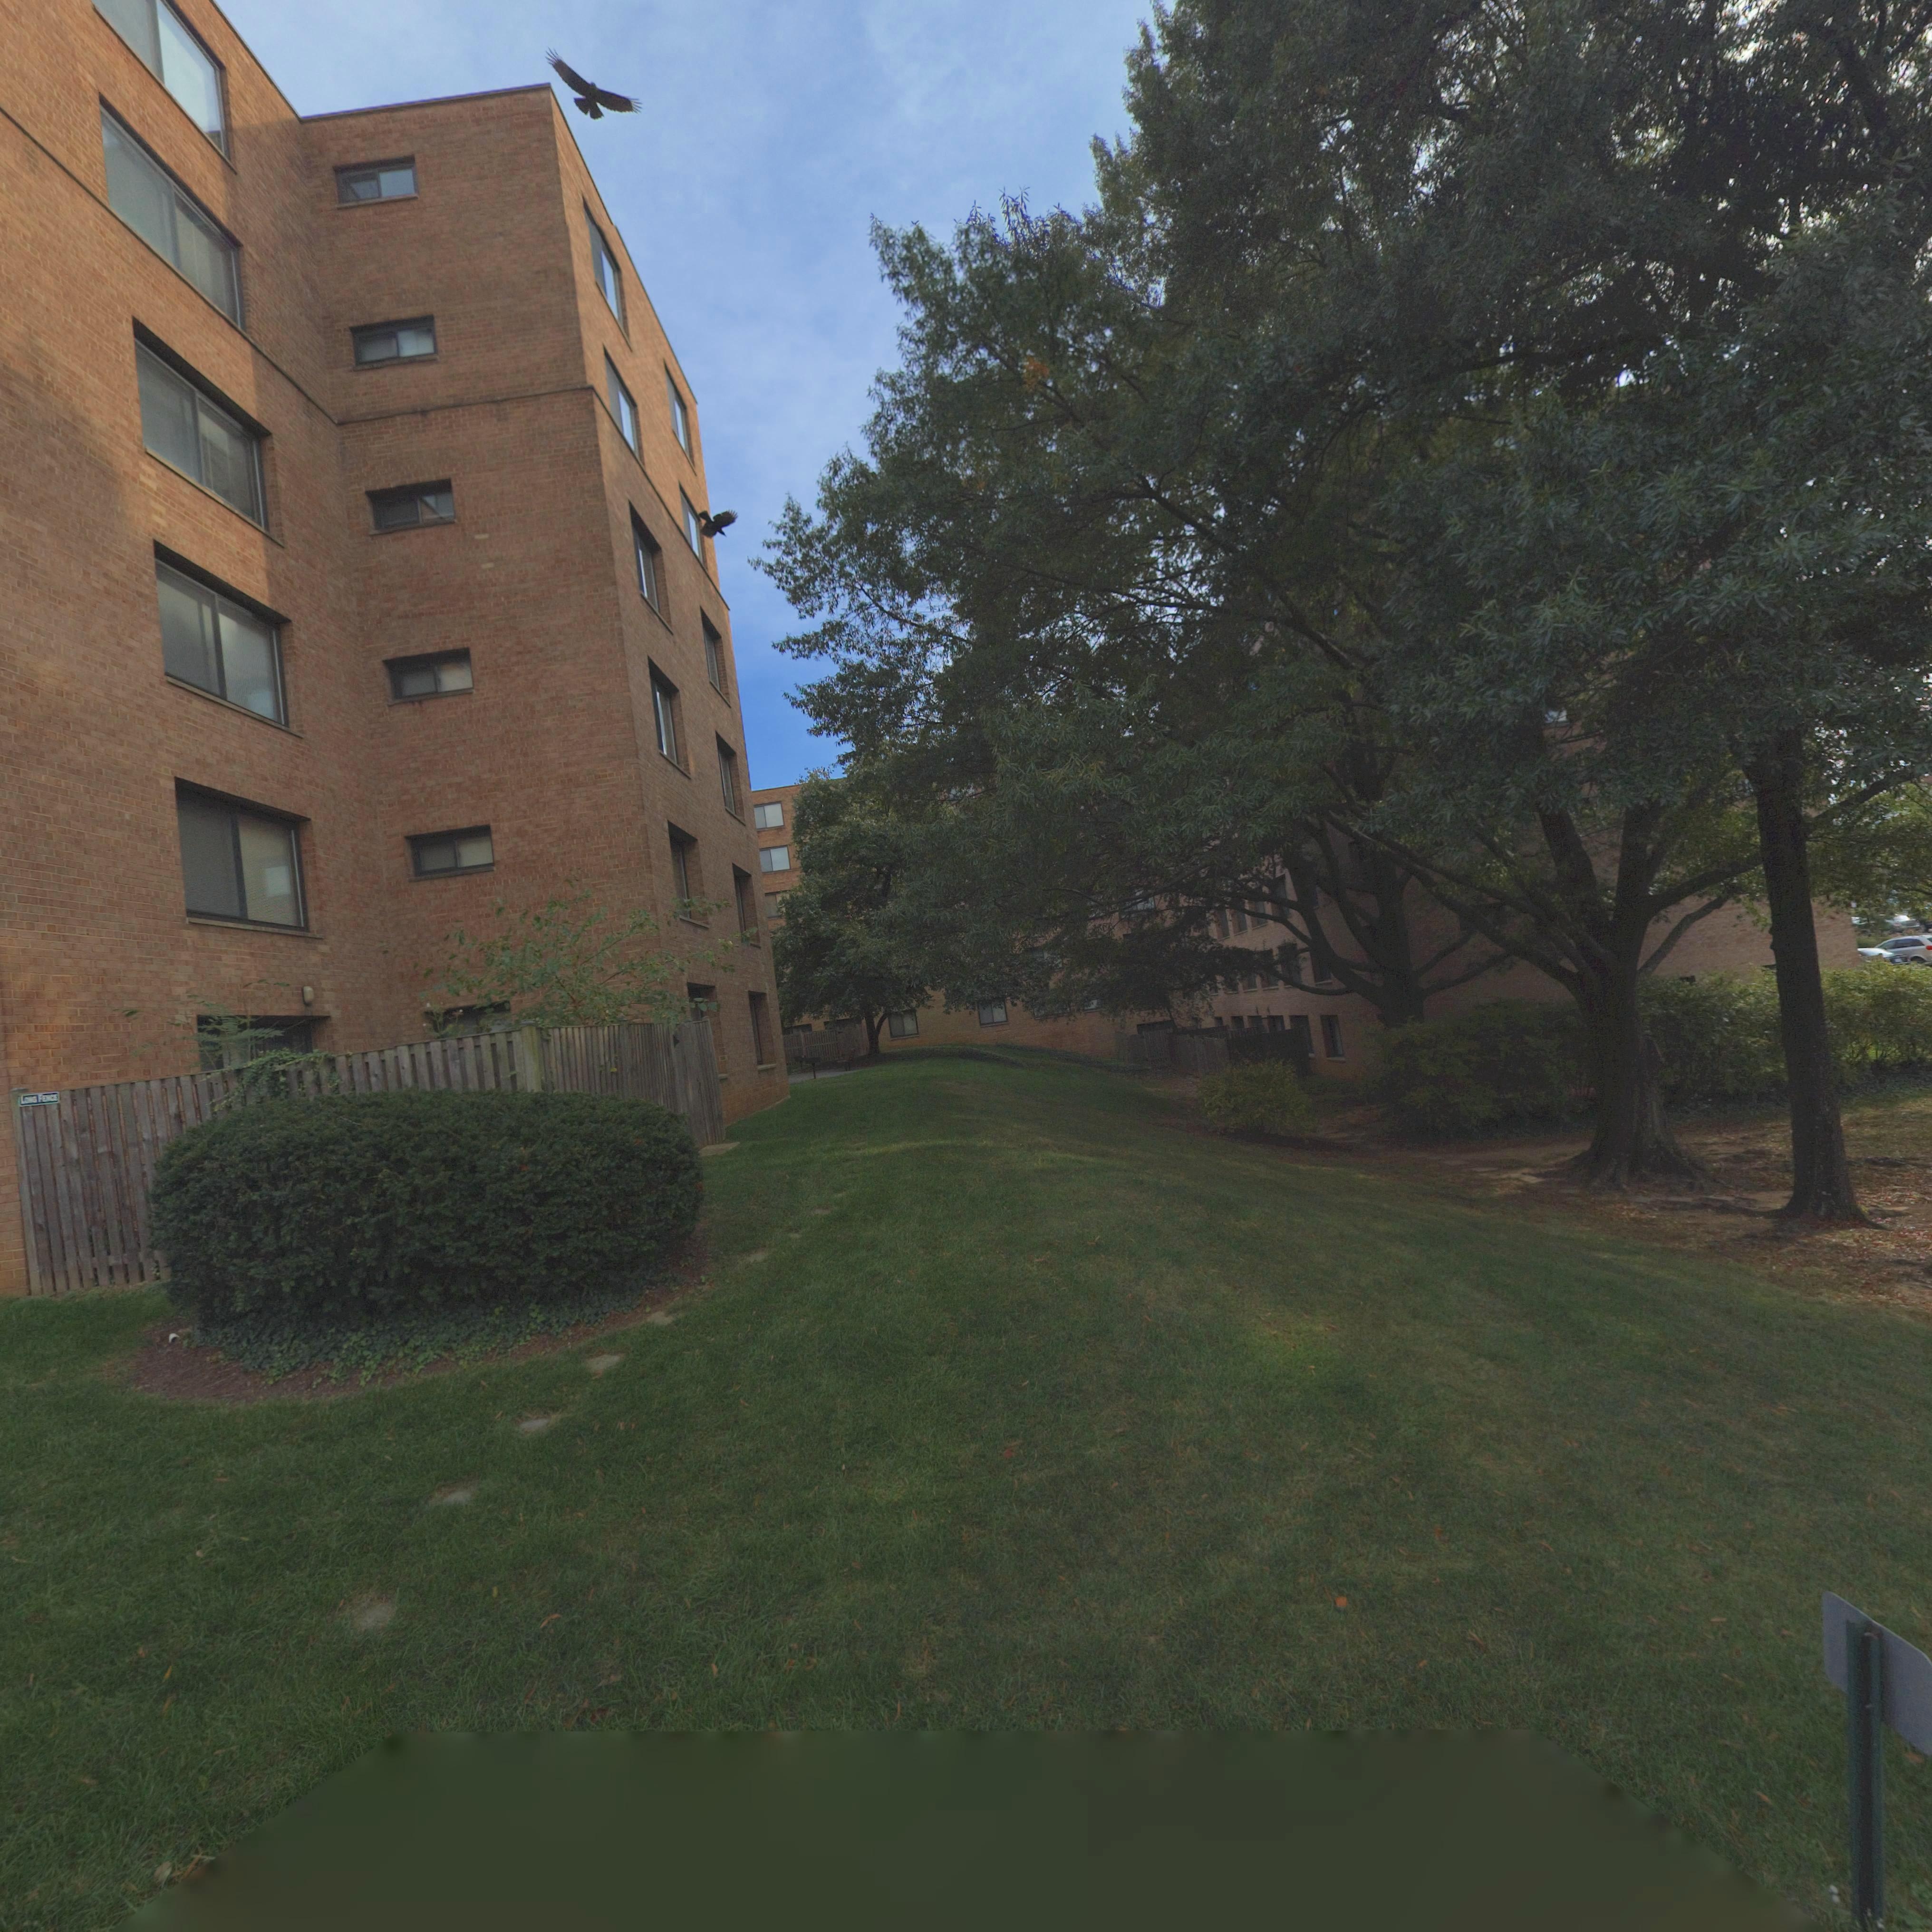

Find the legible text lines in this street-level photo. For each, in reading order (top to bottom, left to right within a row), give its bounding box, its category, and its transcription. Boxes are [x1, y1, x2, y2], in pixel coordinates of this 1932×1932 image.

[20, 1093, 58, 1104] None: LONG FENCE